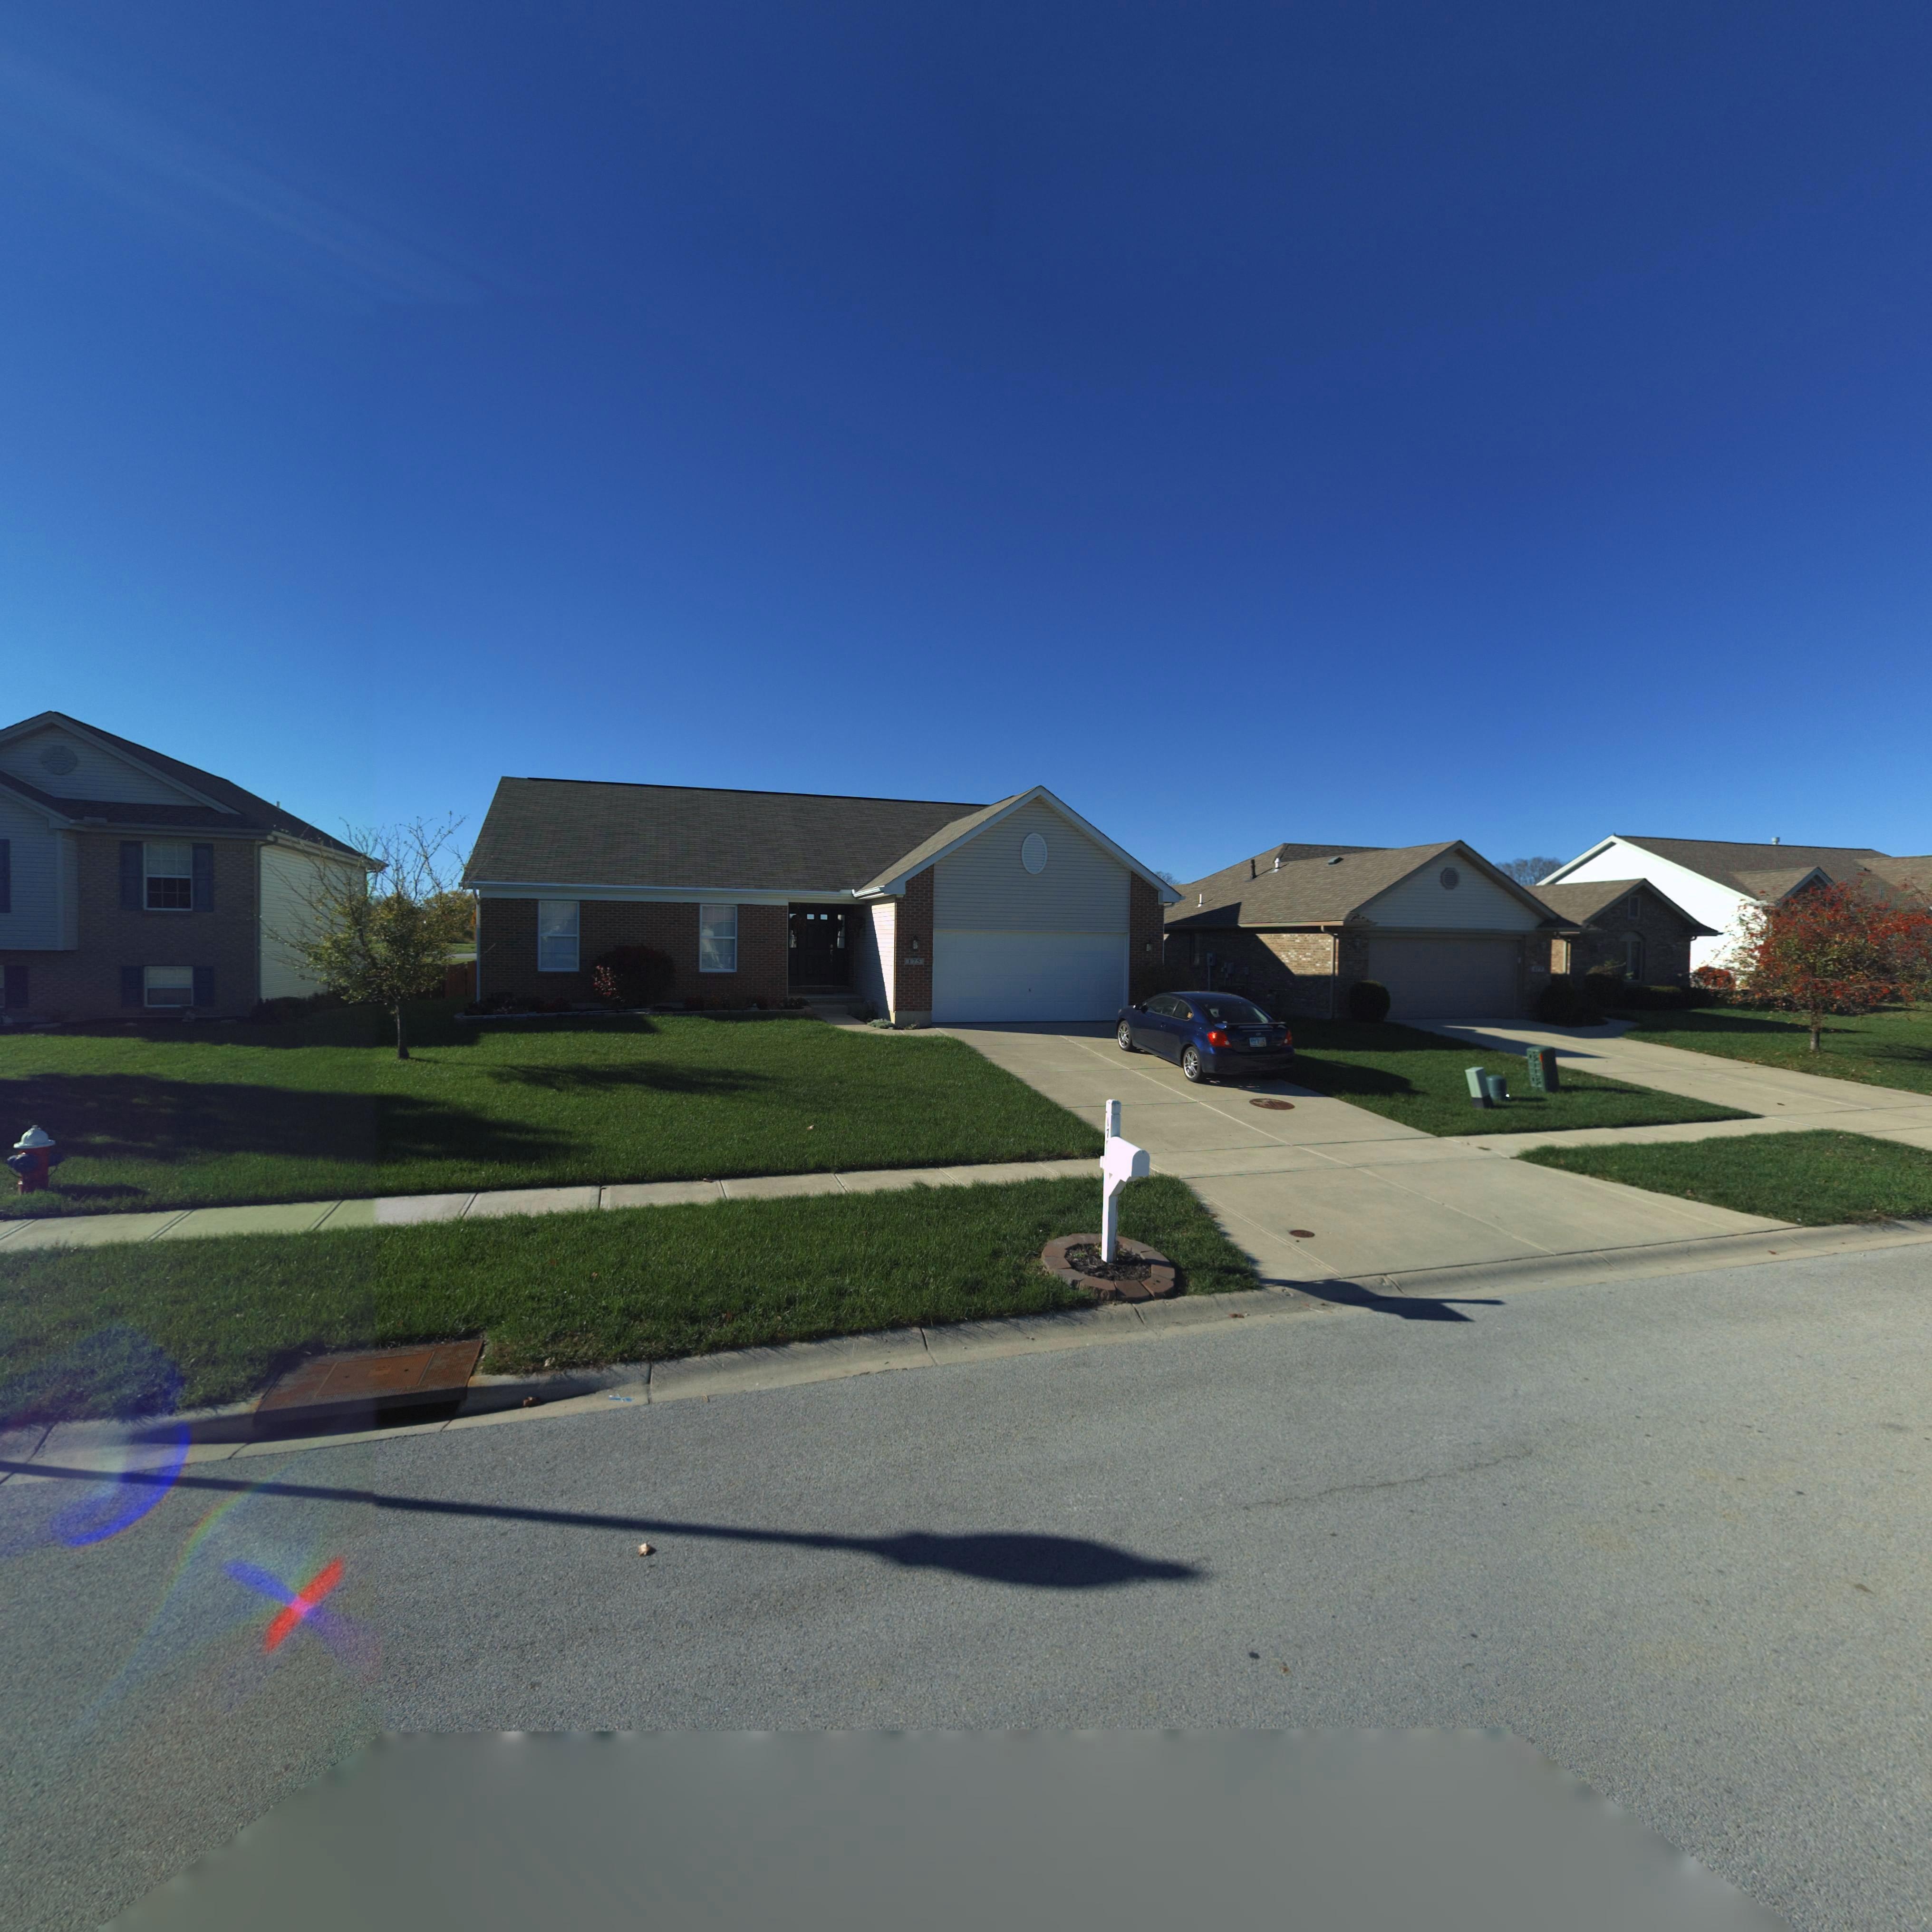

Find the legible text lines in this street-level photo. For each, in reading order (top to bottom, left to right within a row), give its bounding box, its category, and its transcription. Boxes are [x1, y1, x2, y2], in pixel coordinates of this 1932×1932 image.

[908, 958, 921, 964] StreetNumber: 175
[1105, 1116, 1111, 1140] StreetNumber: 17